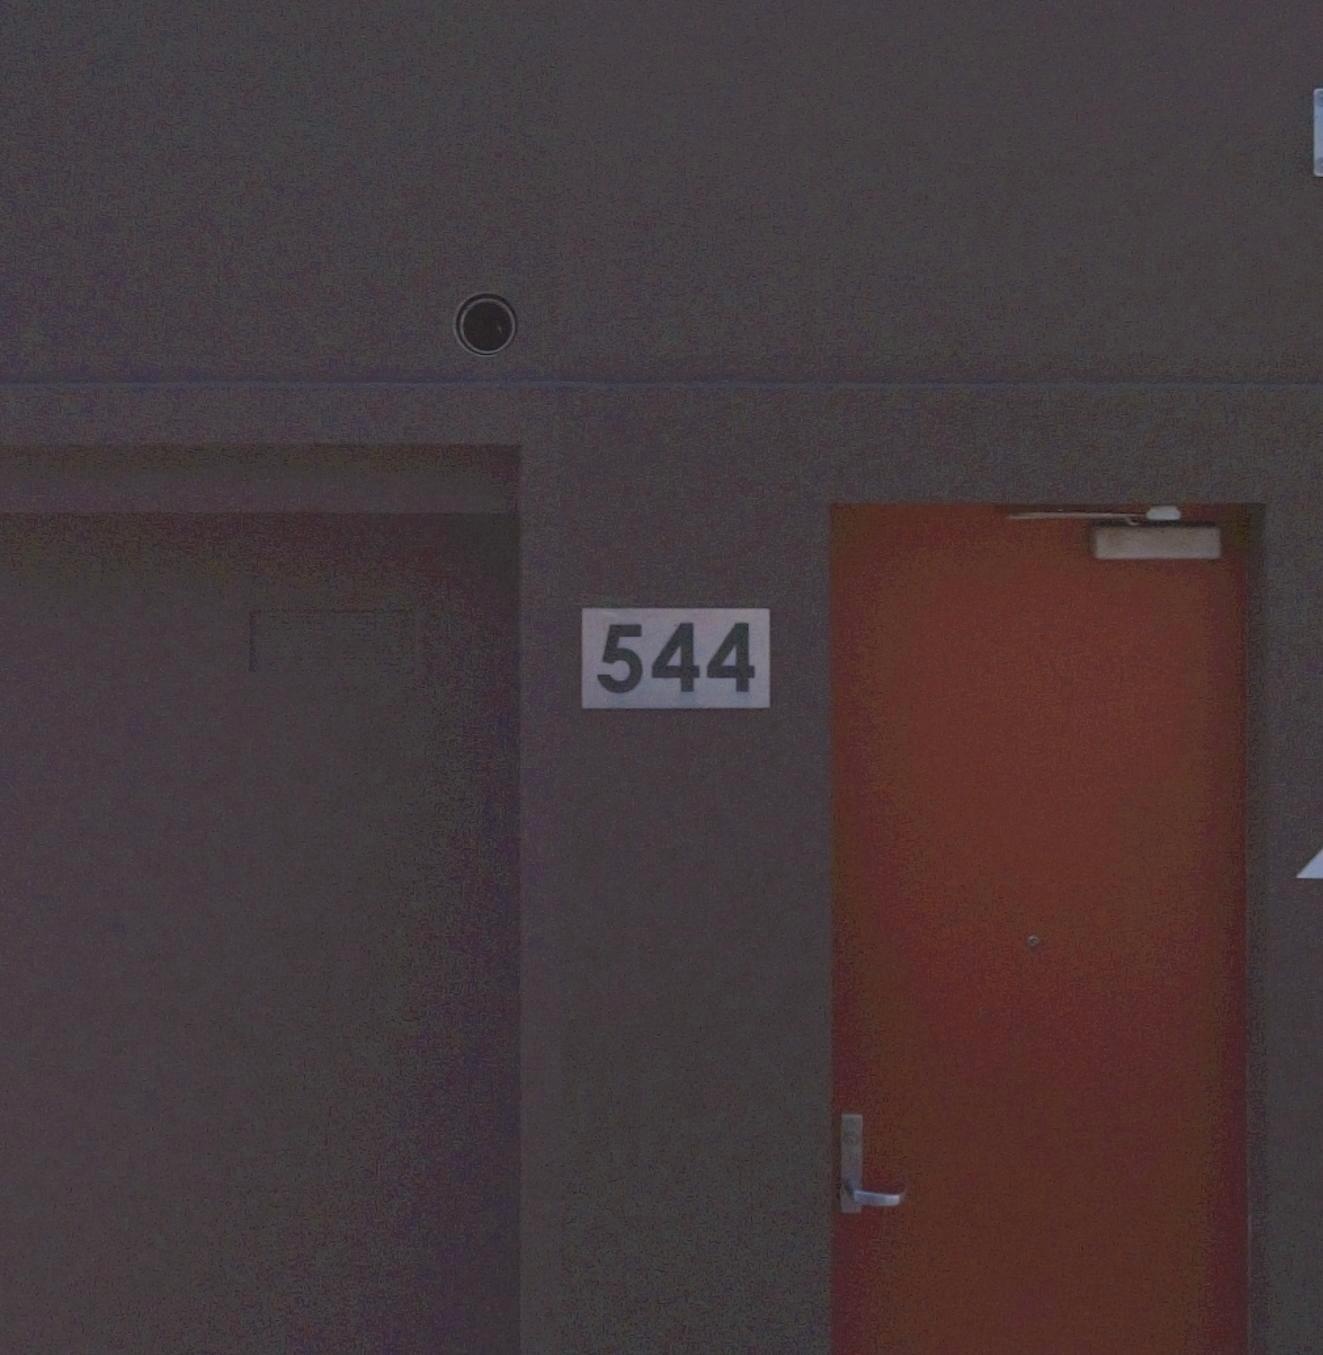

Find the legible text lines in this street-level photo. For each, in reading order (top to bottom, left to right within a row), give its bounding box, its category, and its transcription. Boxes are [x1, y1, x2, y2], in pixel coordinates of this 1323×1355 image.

[596, 621, 758, 694] StreetNumber: 544